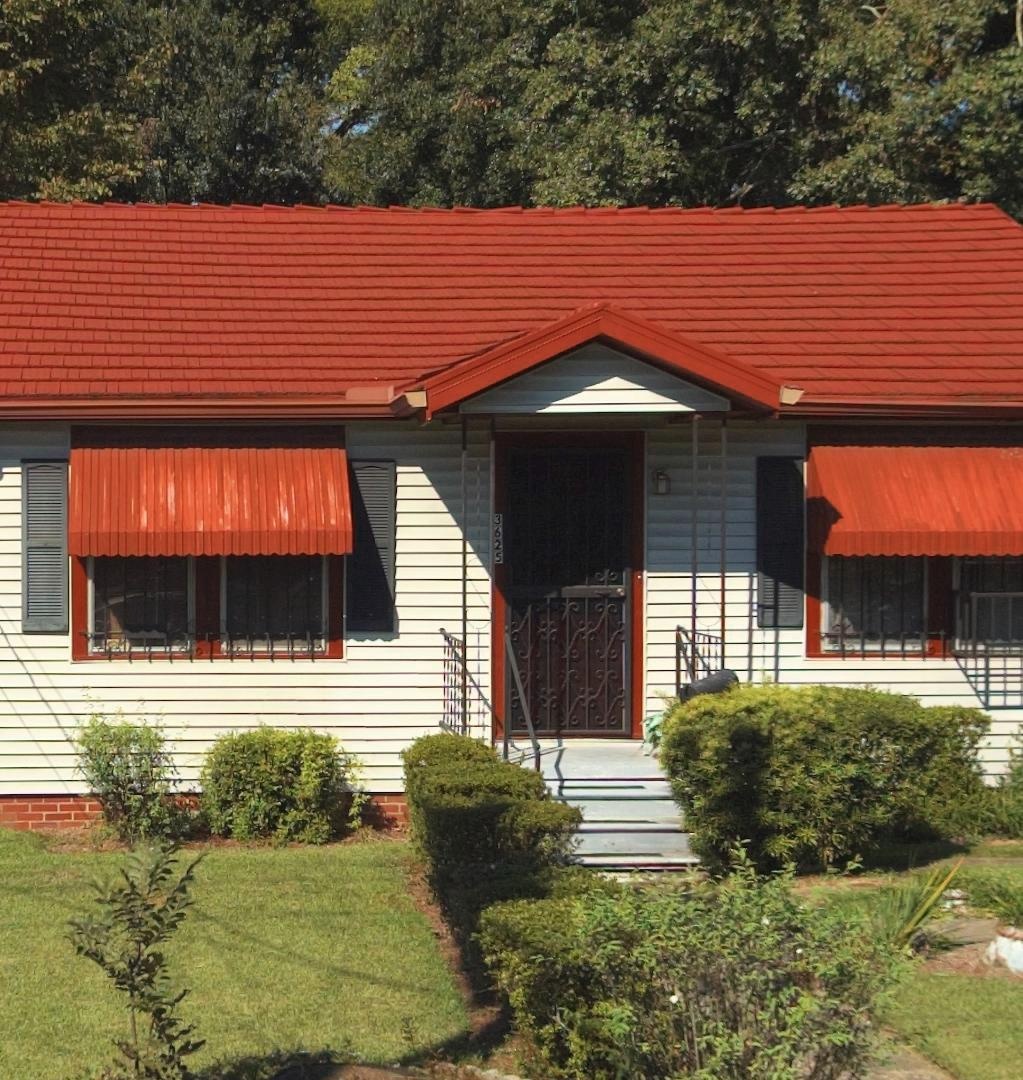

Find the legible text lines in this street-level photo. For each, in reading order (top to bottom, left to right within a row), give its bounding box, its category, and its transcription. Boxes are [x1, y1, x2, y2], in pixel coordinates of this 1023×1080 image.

[493, 513, 503, 564] StreetNumber: 3625